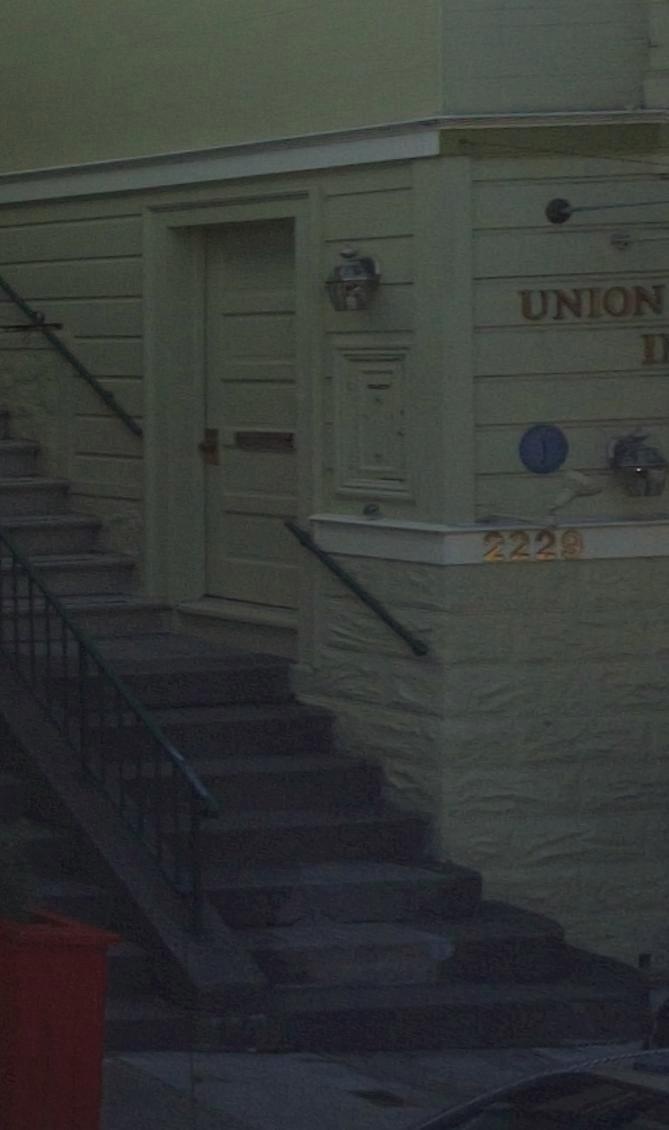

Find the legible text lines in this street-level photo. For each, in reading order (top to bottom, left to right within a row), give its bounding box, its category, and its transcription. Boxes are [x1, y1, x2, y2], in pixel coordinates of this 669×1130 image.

[516, 282, 668, 322] StreetName: UNION
[482, 528, 584, 563] StreetNumber: 2229